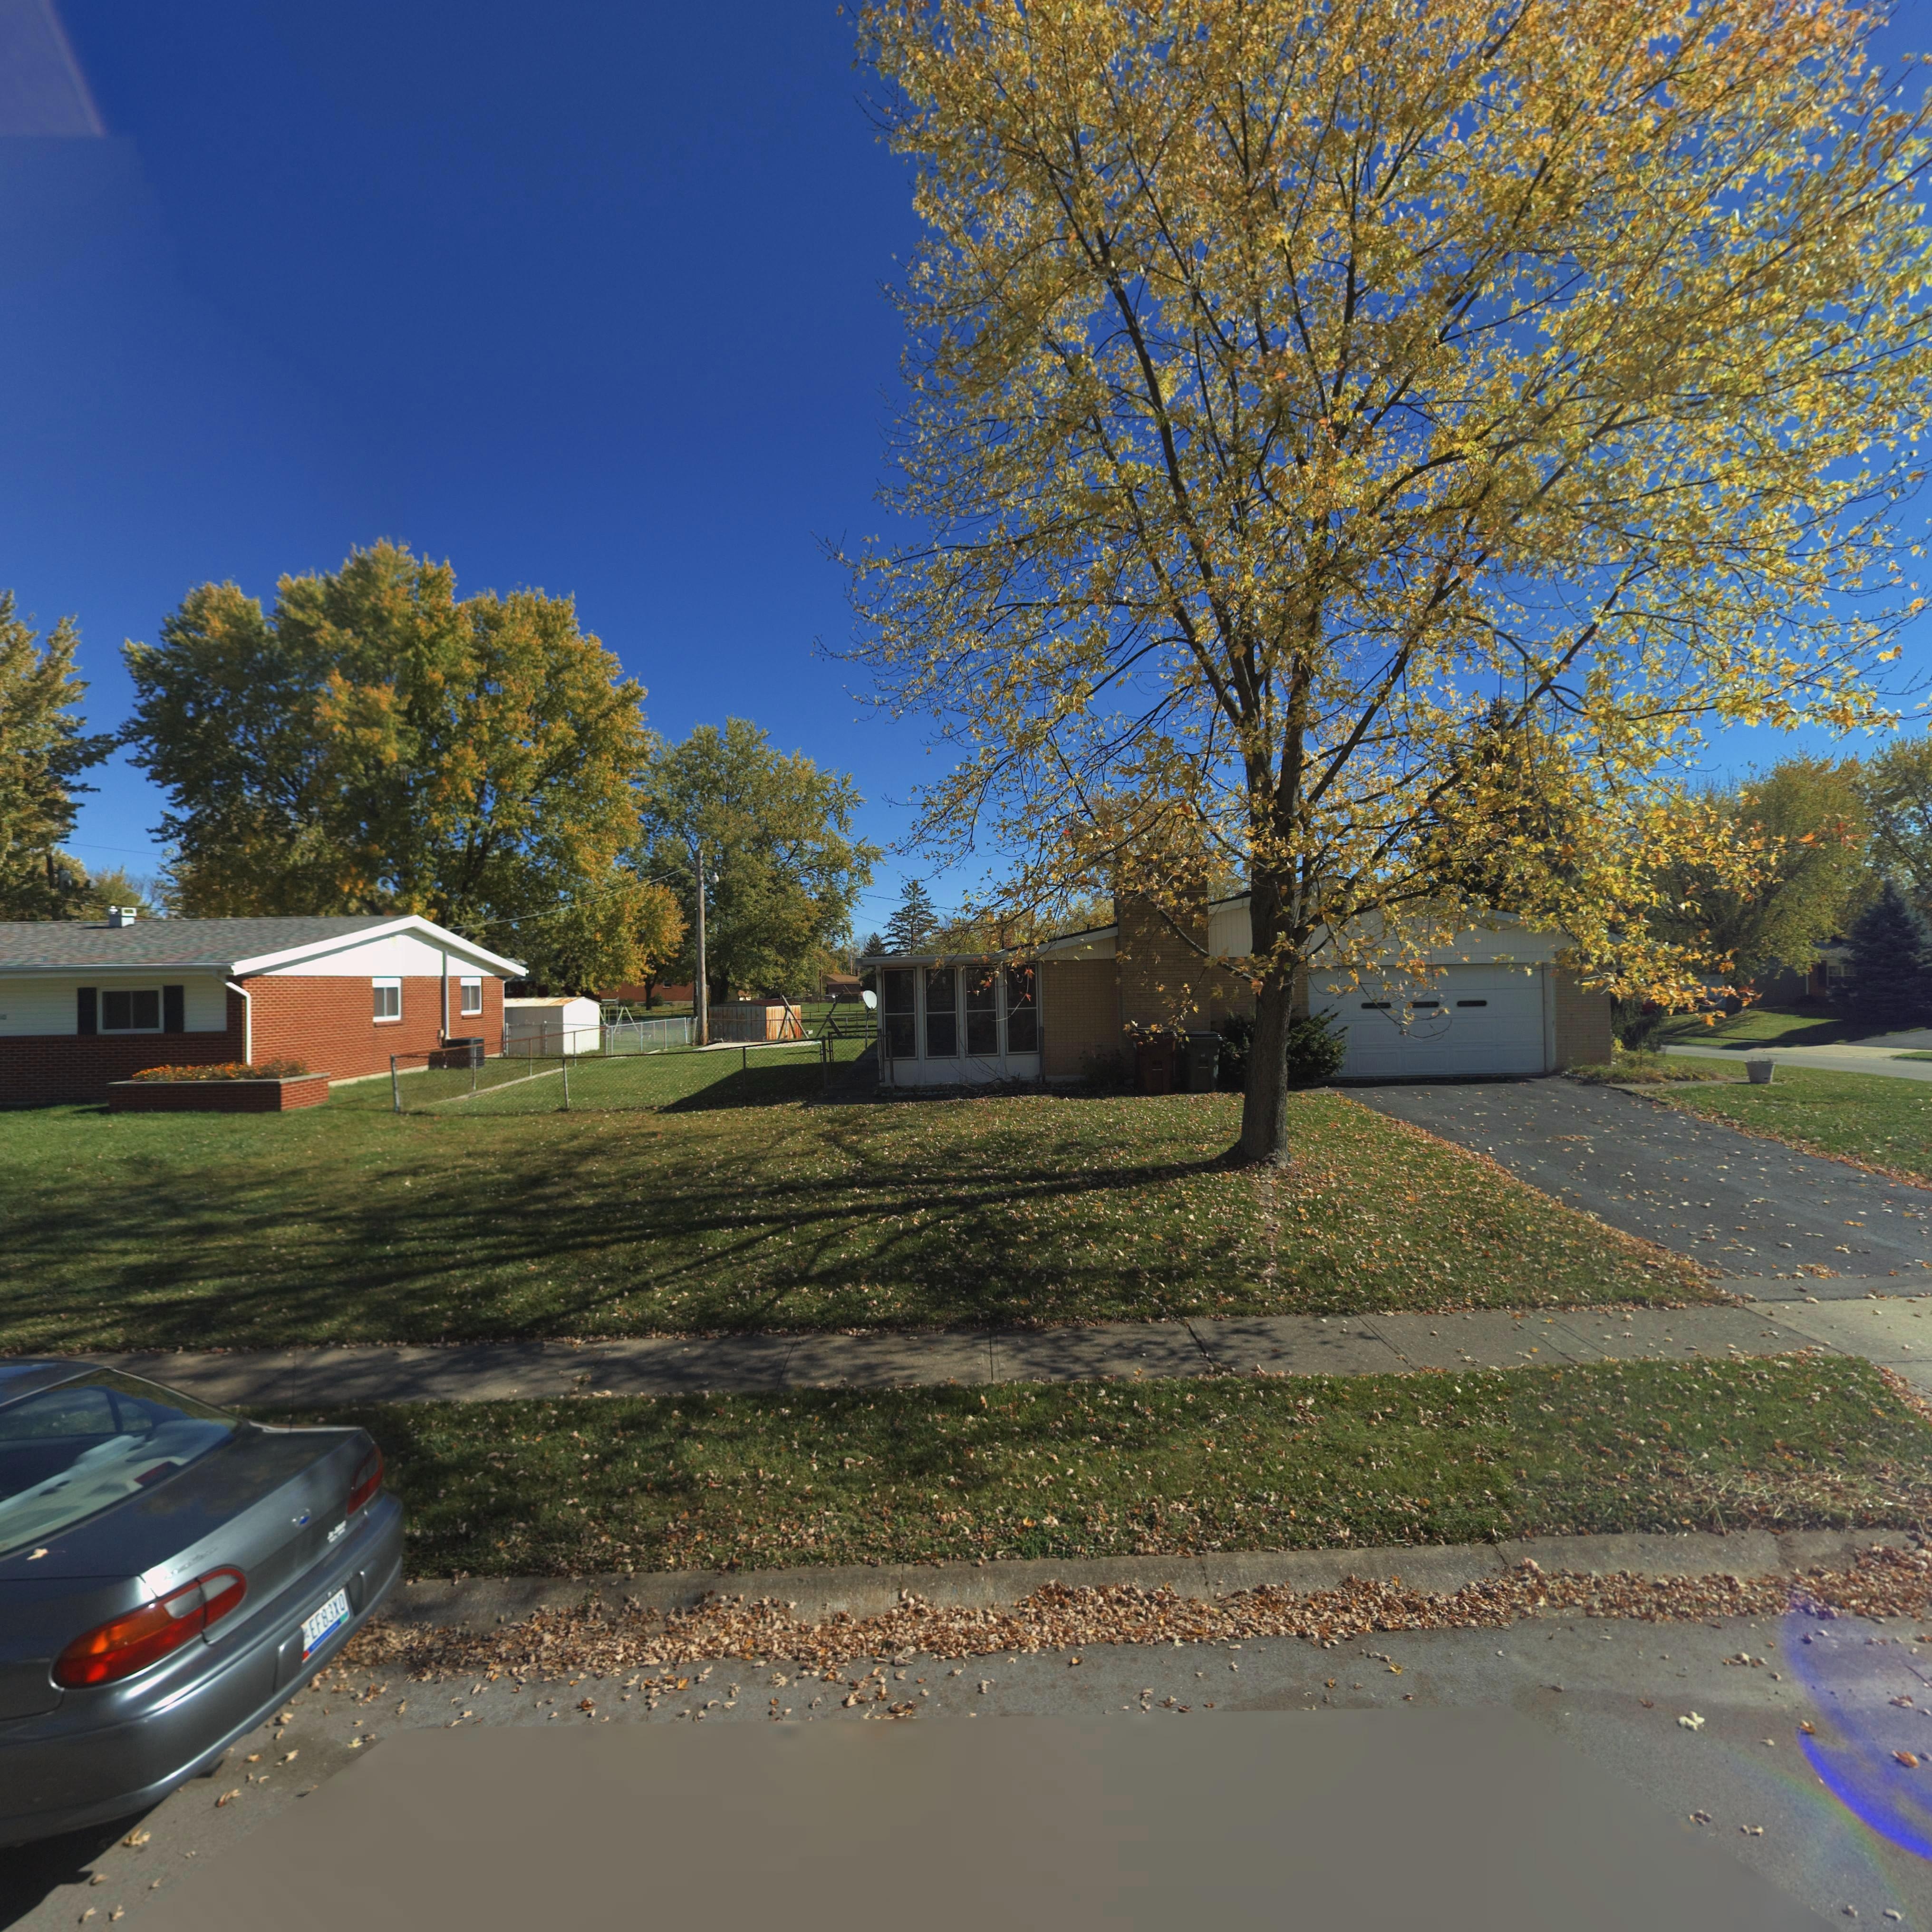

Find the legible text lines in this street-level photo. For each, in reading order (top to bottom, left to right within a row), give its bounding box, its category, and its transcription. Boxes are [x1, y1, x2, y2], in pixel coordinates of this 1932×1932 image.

[0, 1014, 7, 1020] StreetNumber: 0